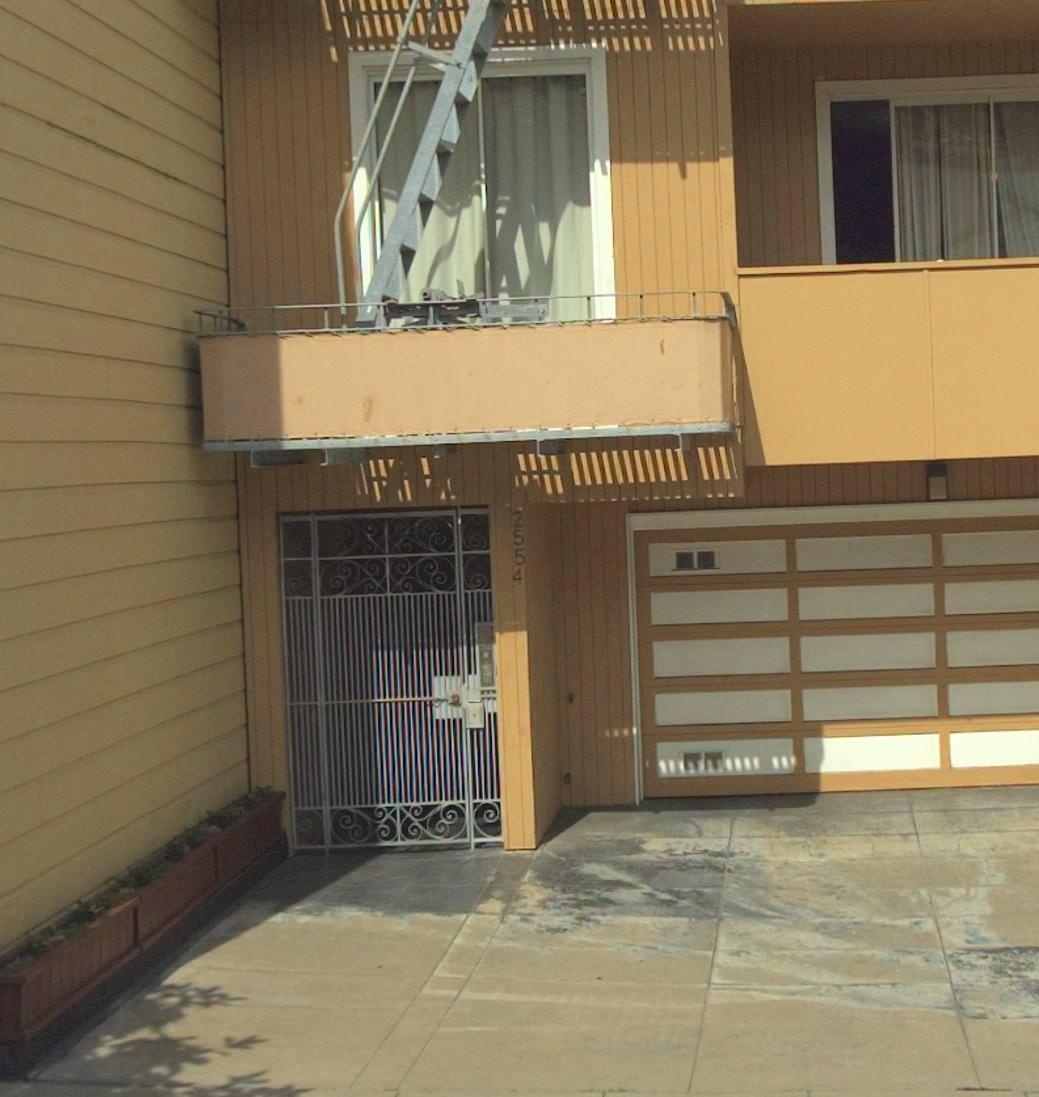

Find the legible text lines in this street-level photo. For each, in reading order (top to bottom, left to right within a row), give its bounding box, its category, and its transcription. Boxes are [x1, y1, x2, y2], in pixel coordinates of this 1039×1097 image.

[510, 508, 527, 587] StreetNumber: 2554